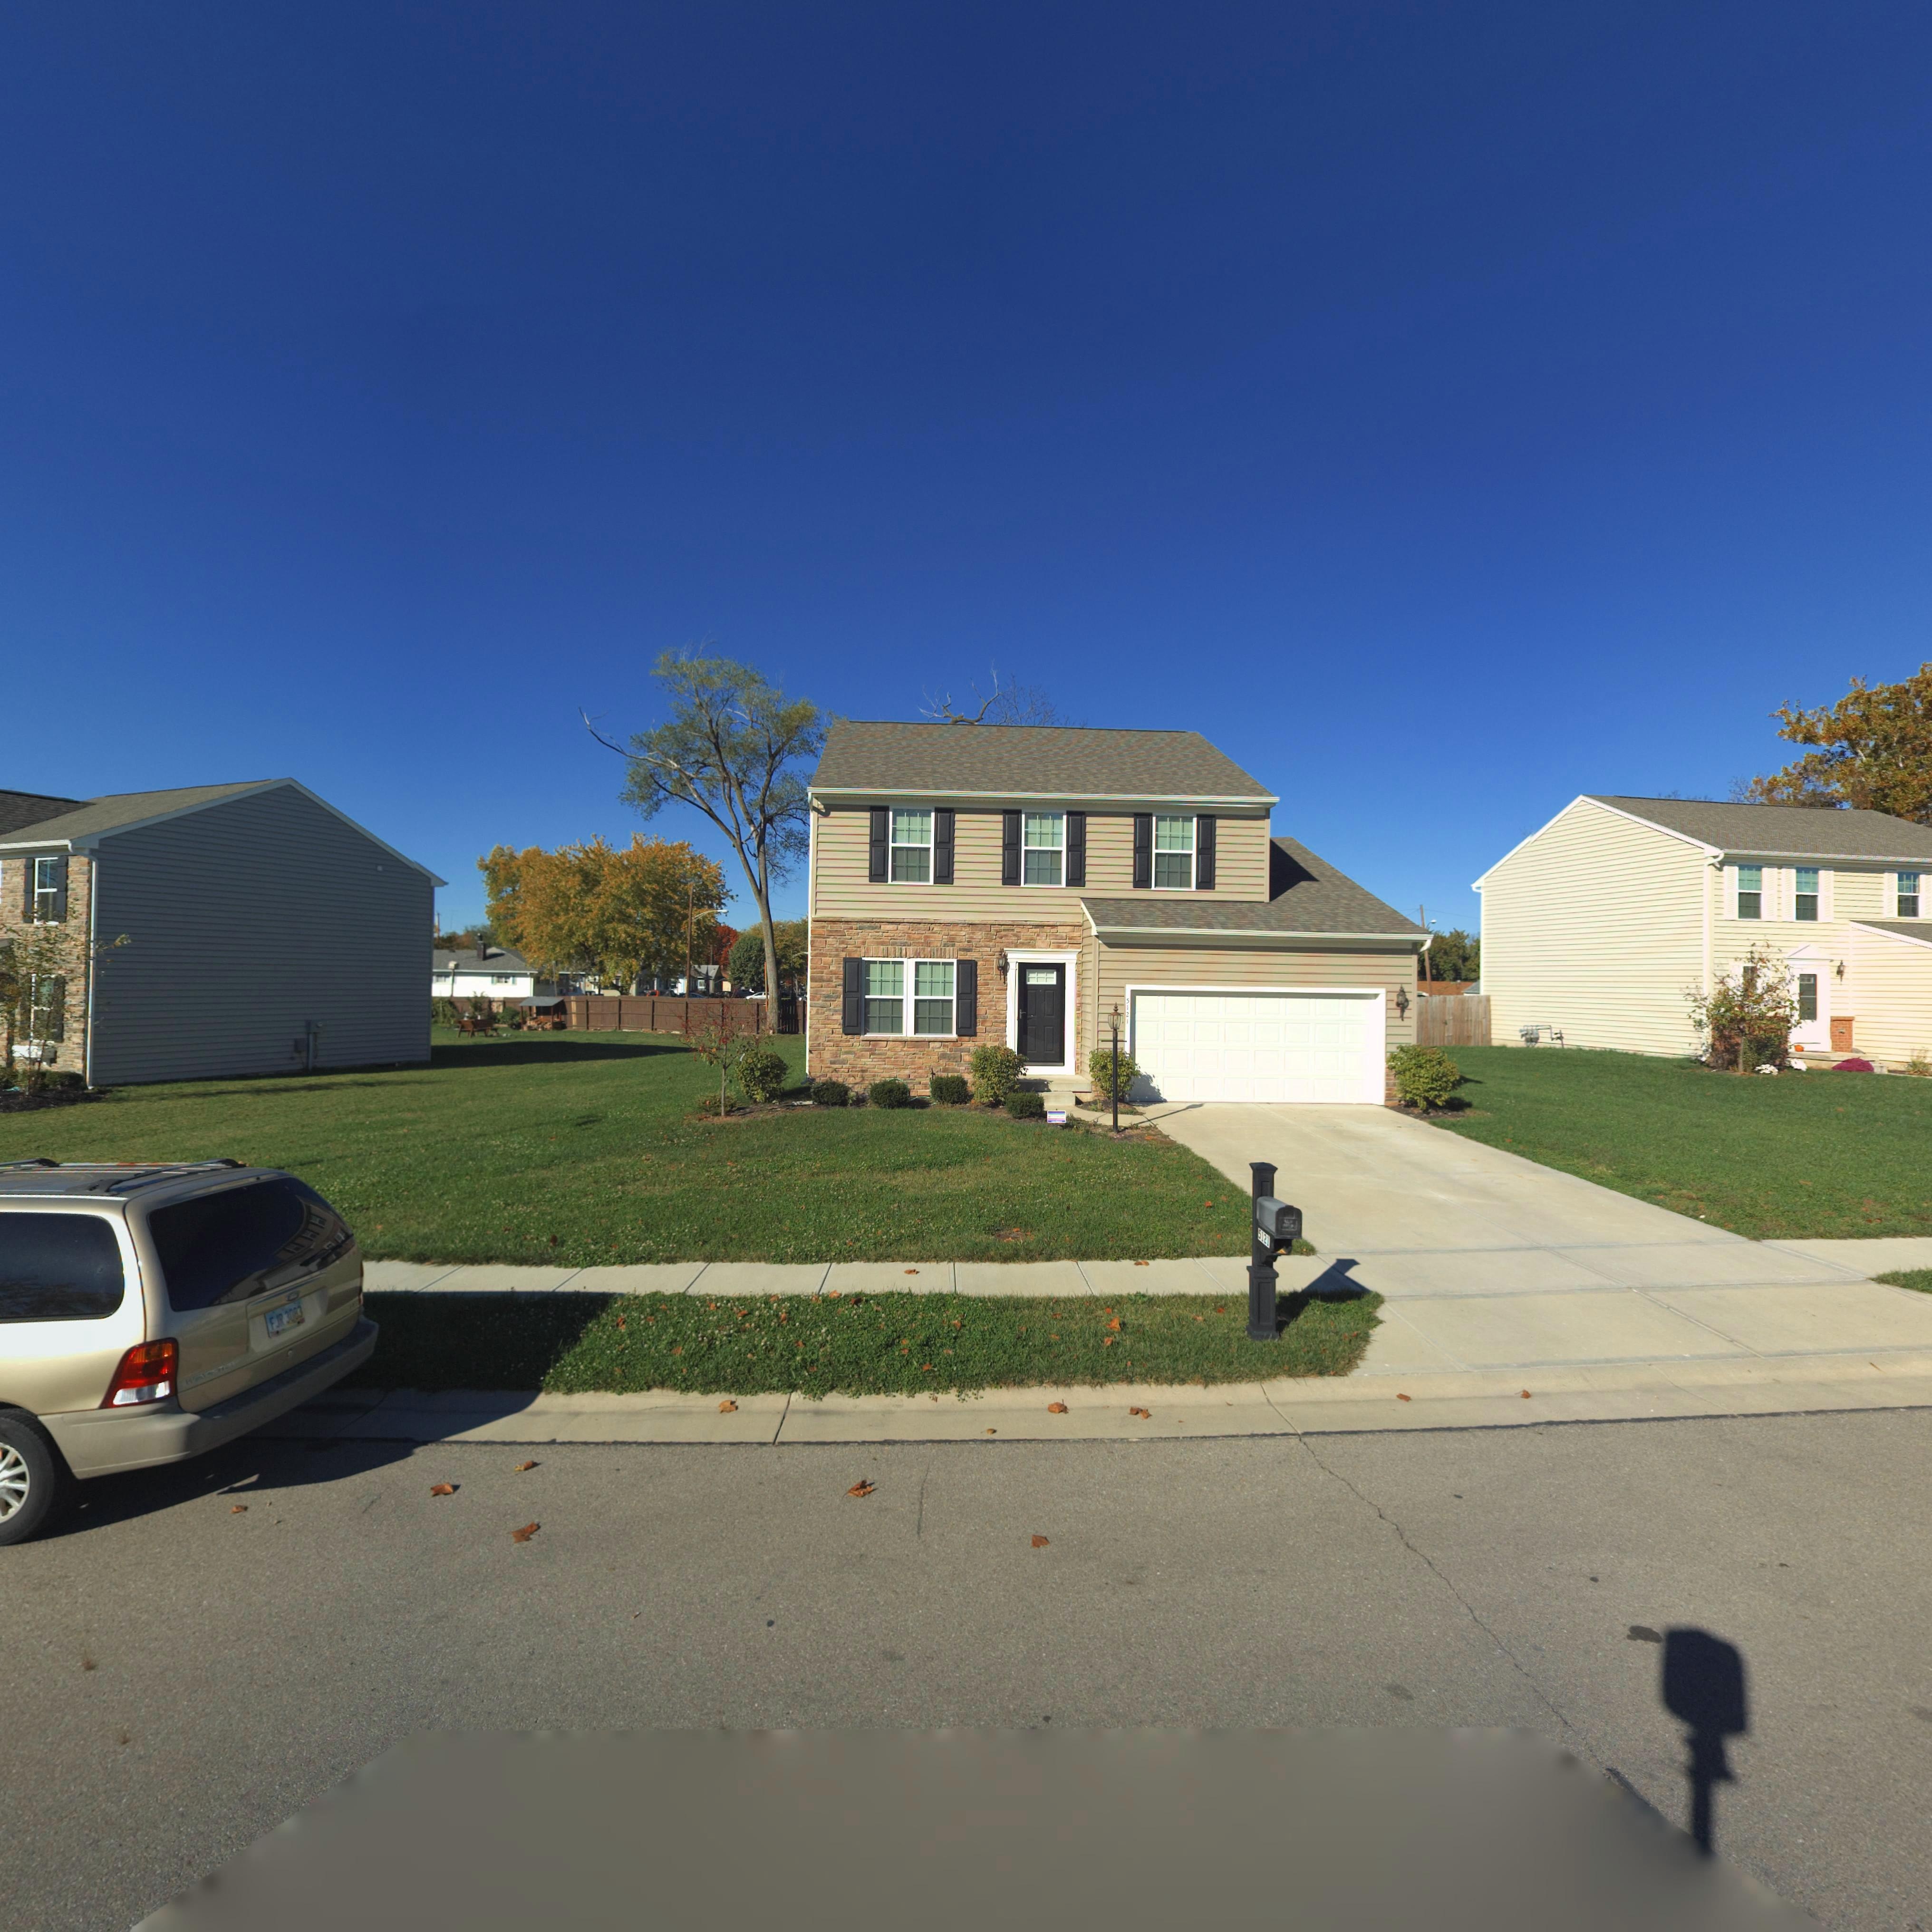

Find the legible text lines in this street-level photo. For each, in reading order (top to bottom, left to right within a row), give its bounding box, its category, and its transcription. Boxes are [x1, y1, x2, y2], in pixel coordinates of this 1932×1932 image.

[1125, 998, 1130, 1024] StreetNumber: 5121
[1258, 1227, 1269, 1247] StreetNumber: 5121